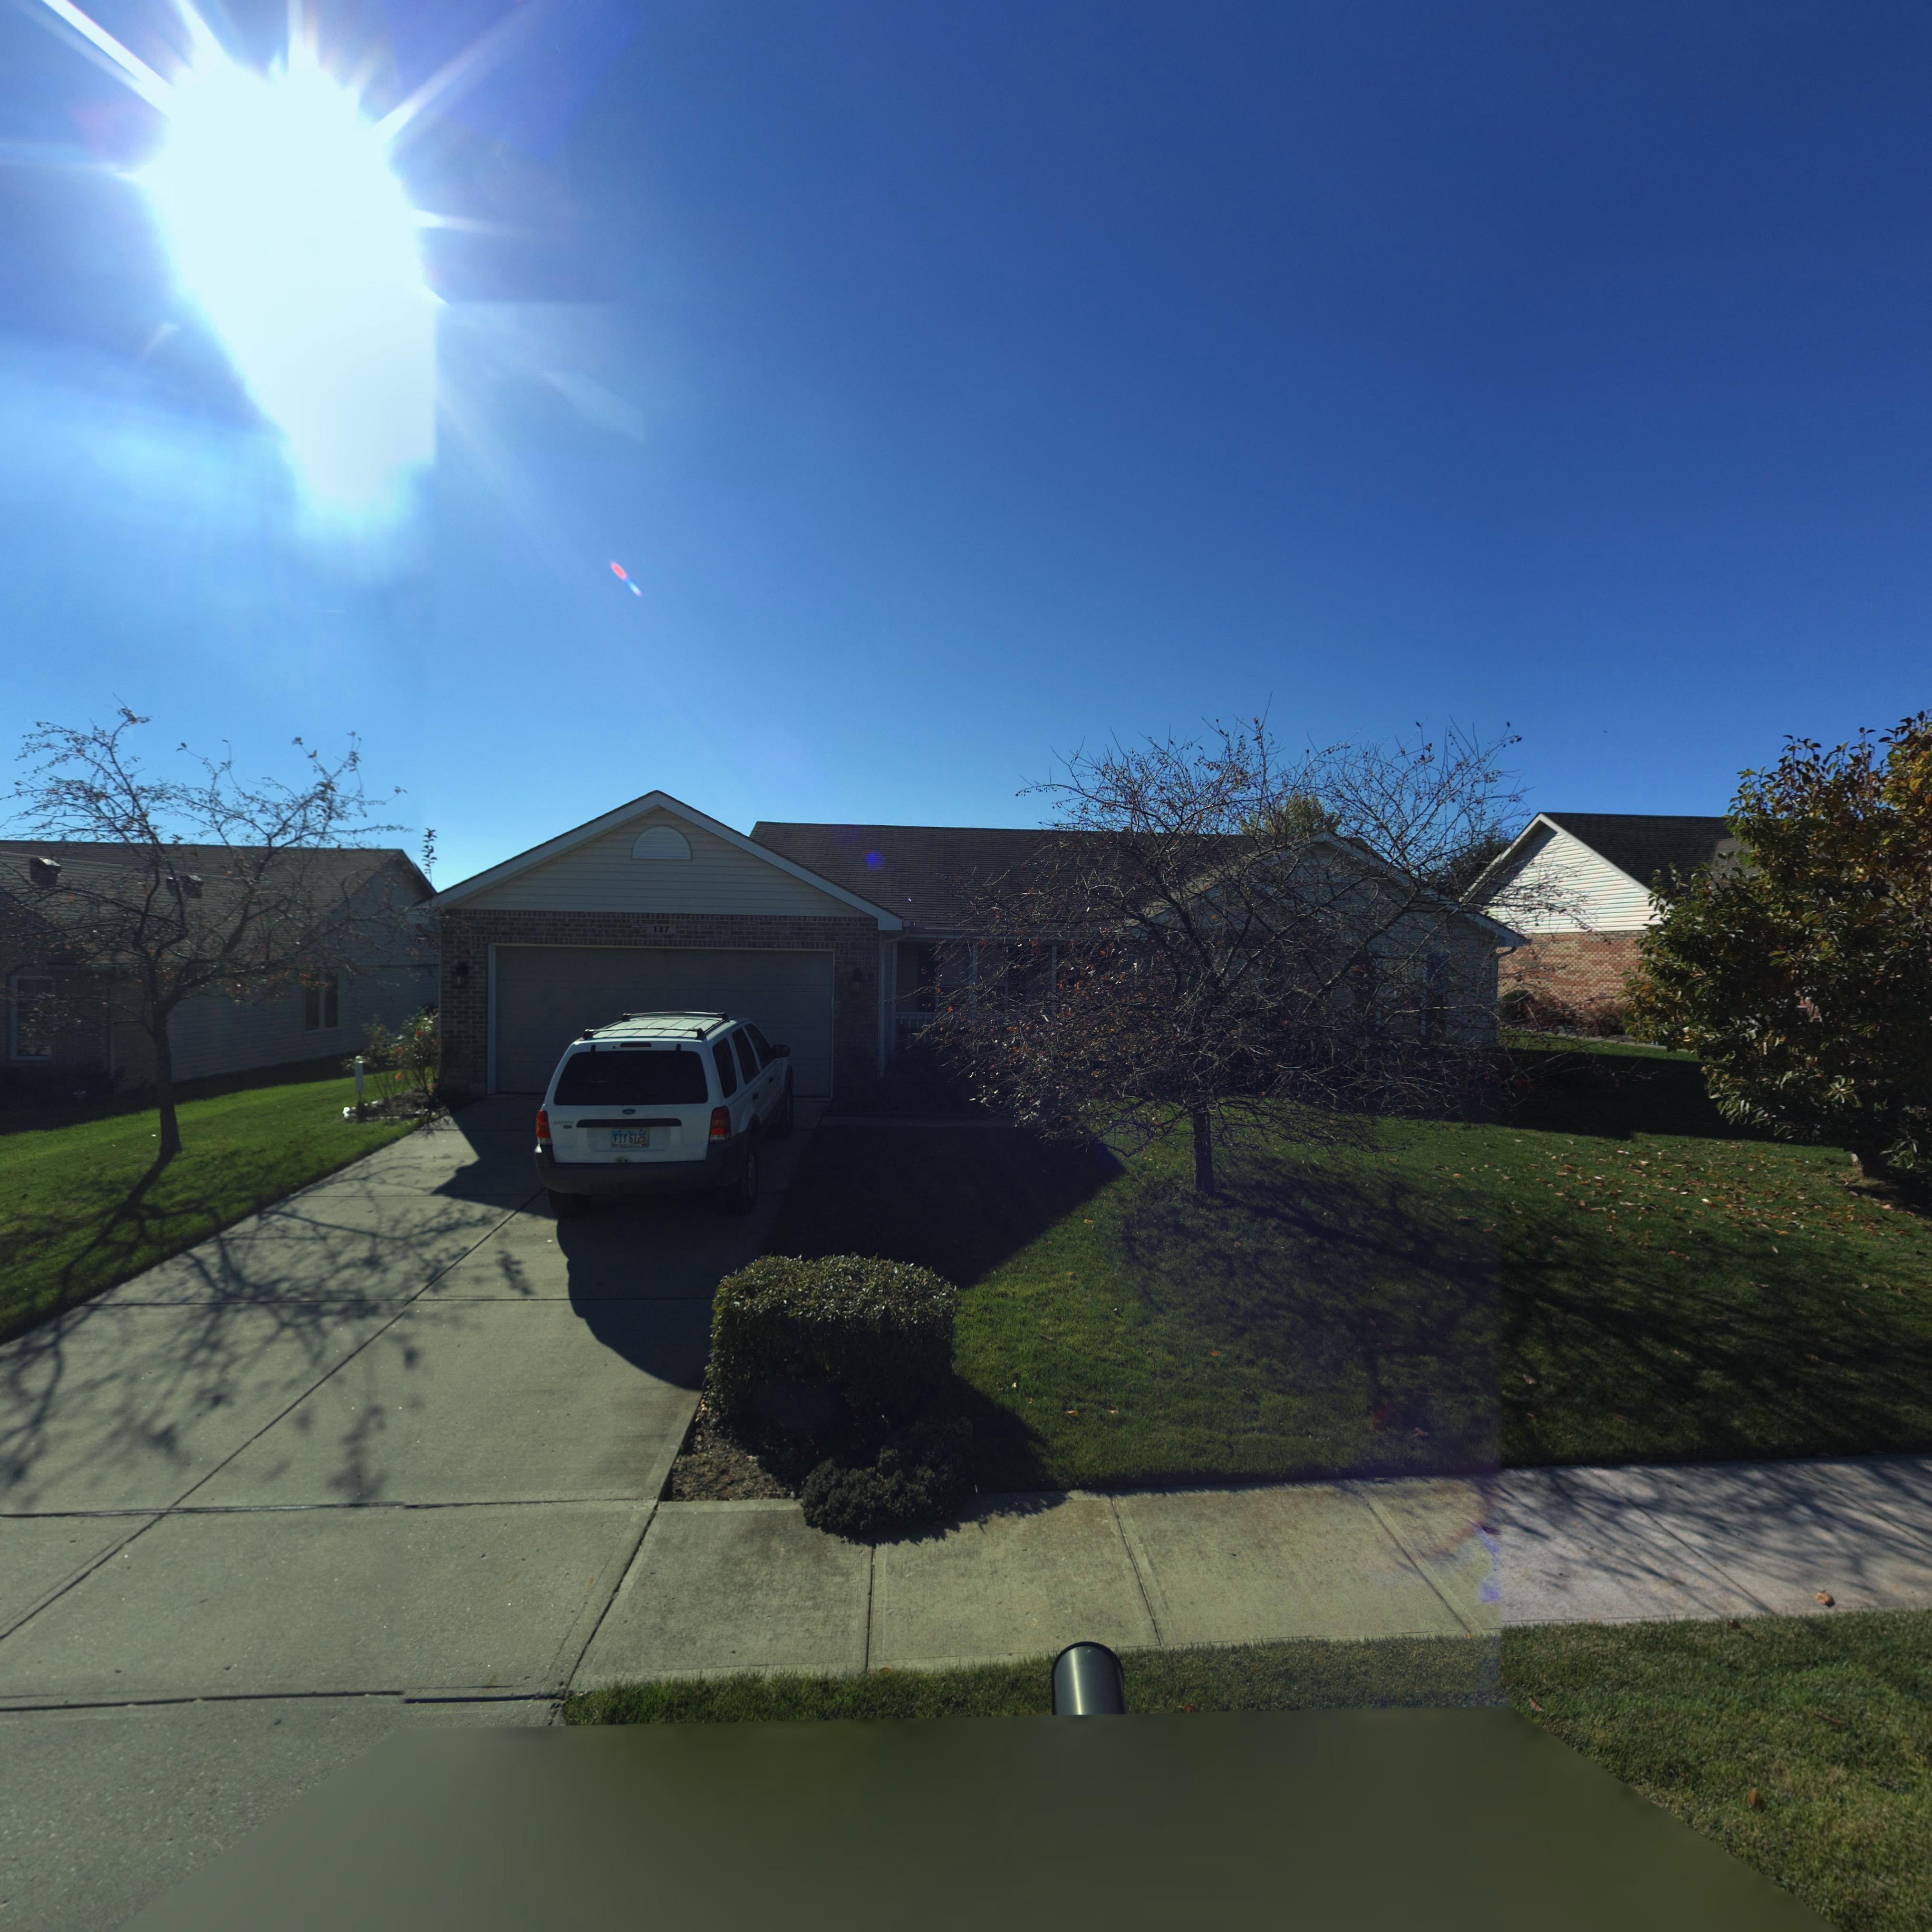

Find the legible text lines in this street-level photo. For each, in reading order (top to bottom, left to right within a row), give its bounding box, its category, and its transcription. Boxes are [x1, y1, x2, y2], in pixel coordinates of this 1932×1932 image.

[653, 925, 670, 933] StreetNumber: 137
[613, 1131, 647, 1144] None: FIY 6125